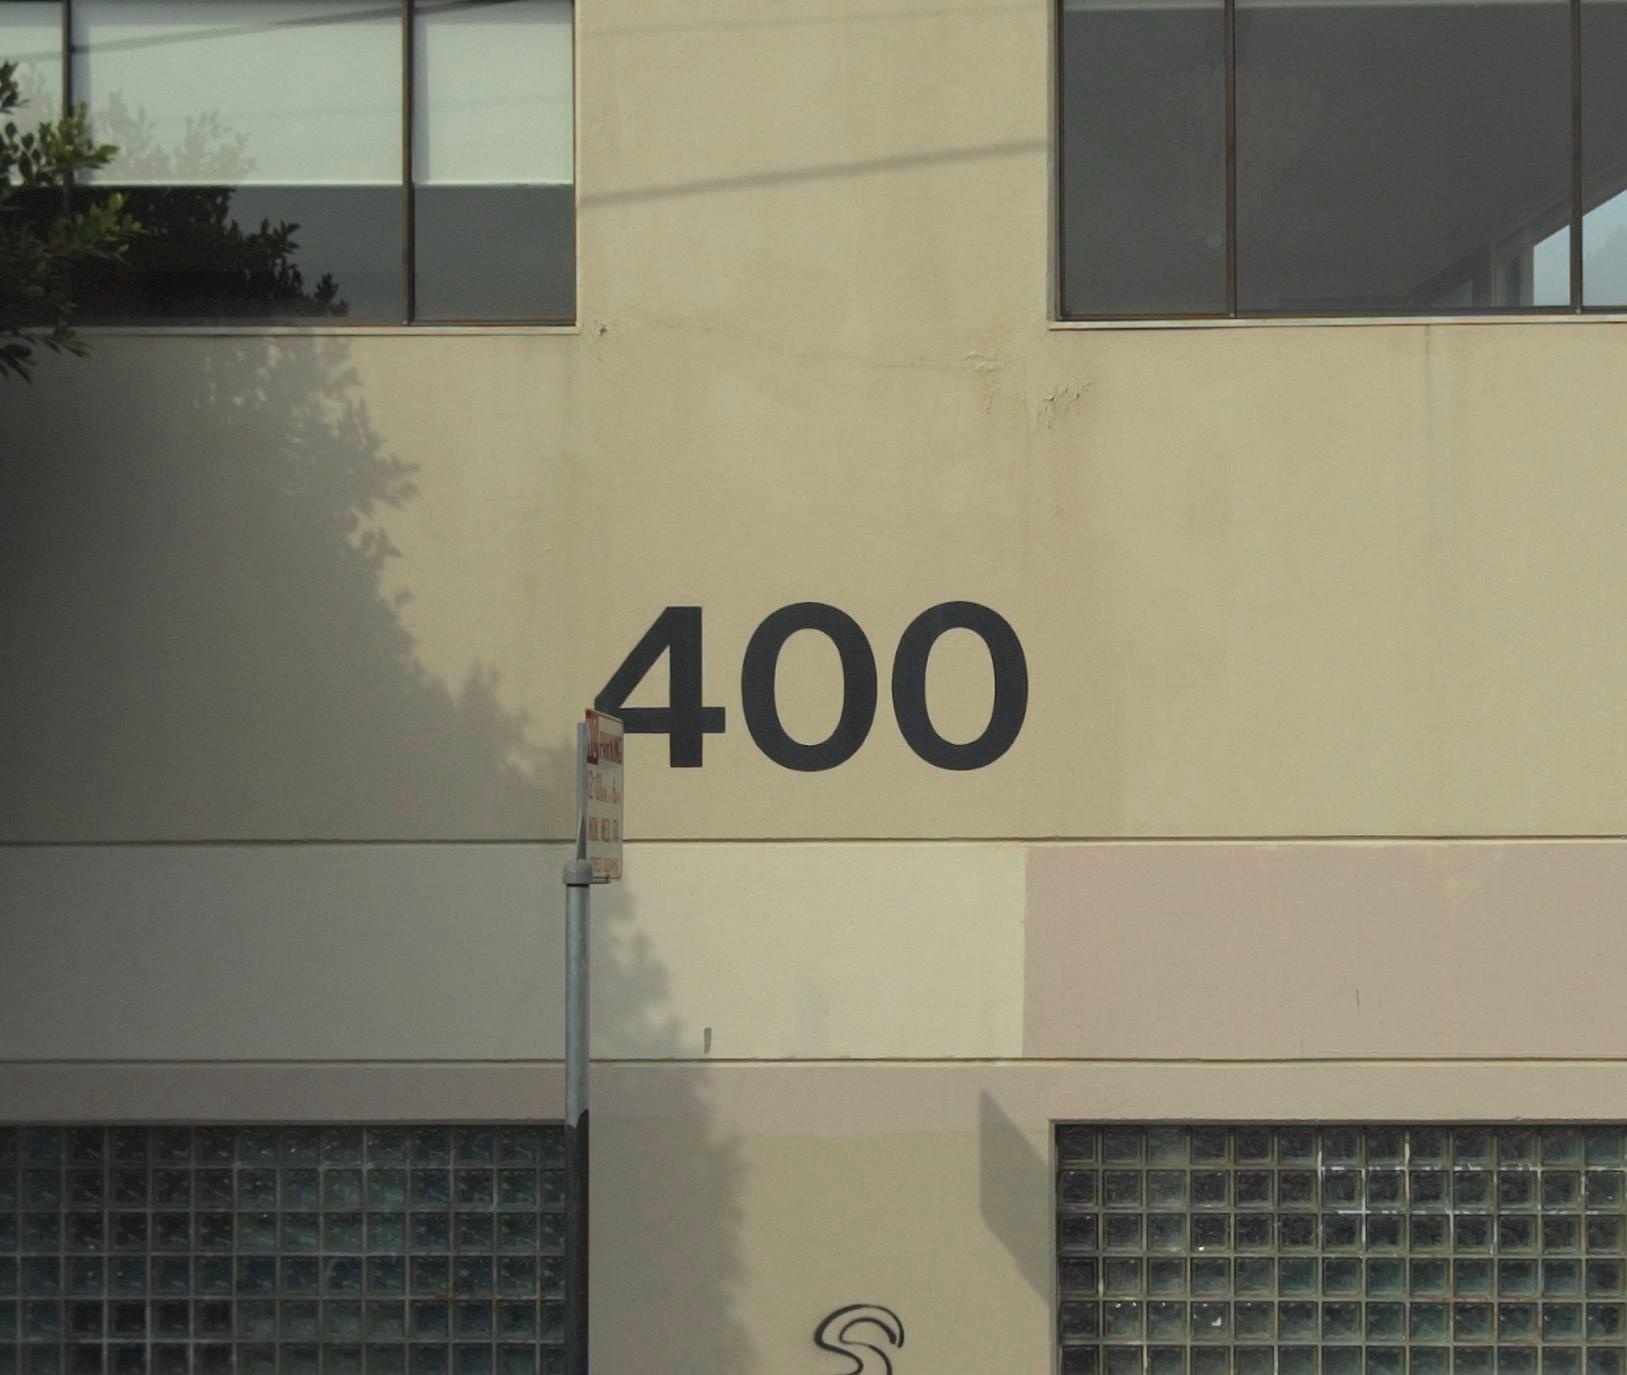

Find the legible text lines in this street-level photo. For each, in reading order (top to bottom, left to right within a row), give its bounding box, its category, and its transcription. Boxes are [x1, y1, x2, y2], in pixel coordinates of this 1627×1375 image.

[592, 597, 1031, 773] StreetNumber: 400